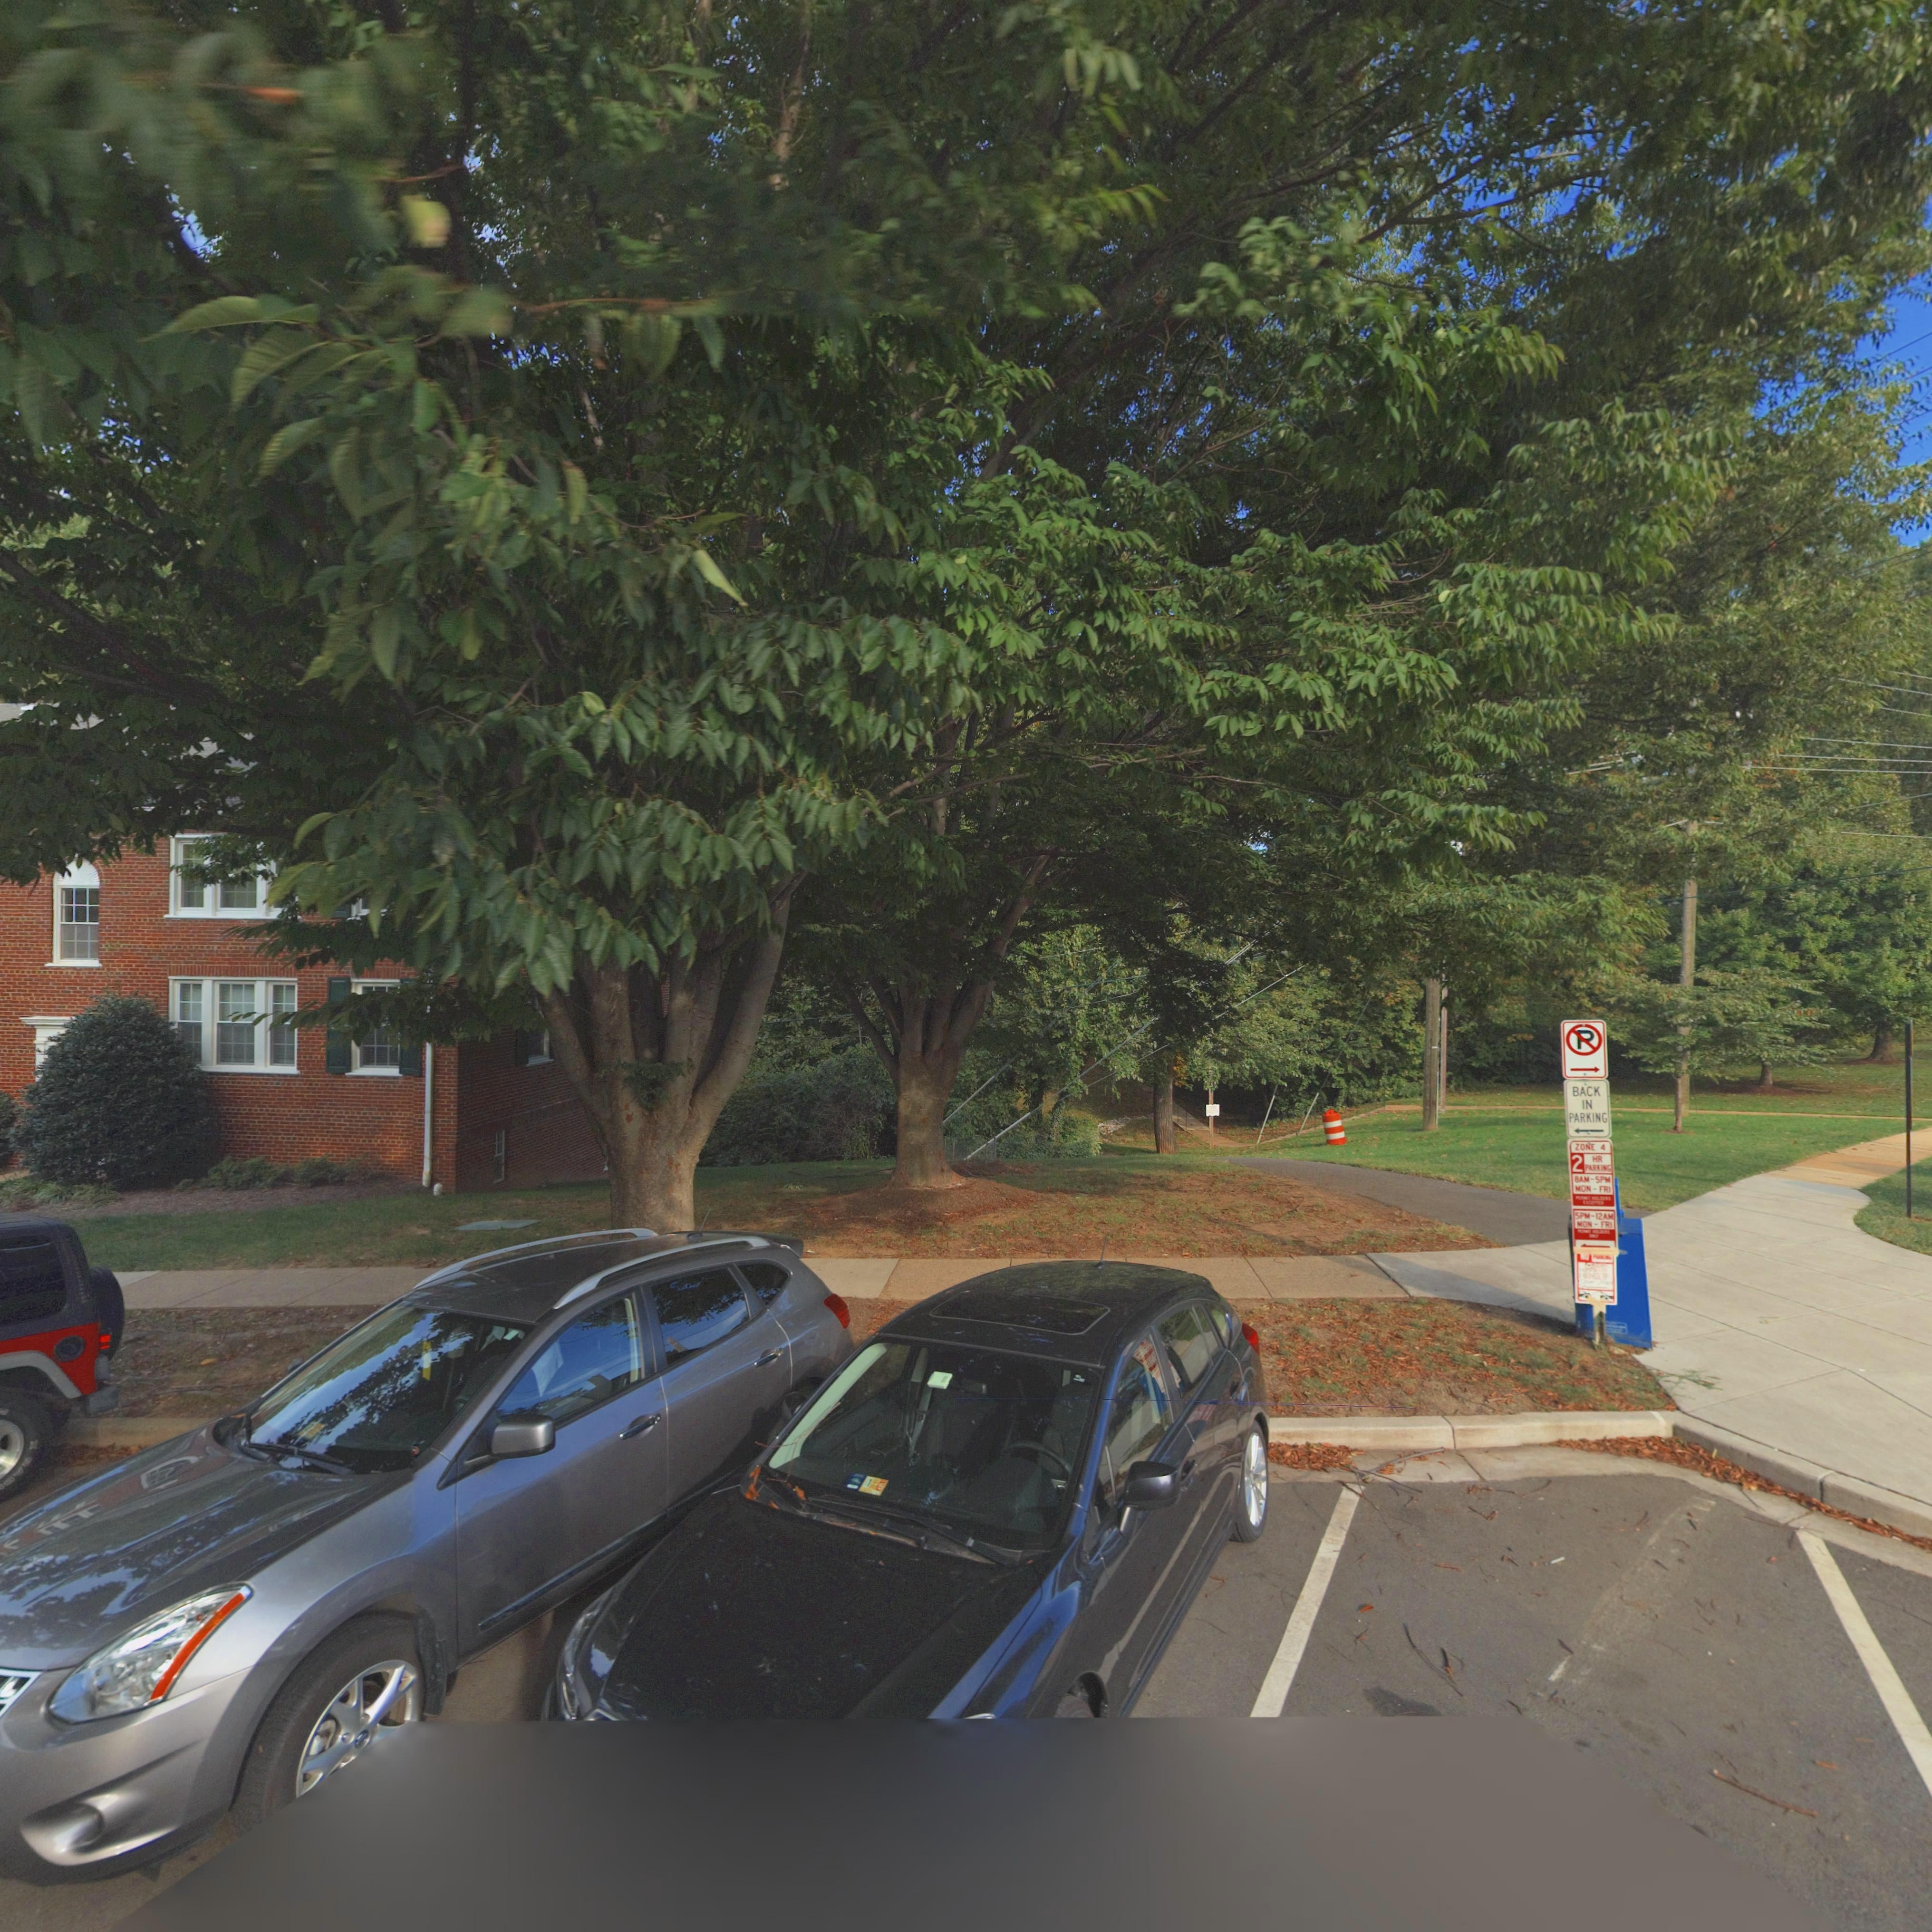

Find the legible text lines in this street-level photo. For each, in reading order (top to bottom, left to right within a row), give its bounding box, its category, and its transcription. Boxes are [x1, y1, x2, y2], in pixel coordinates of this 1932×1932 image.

[1572, 1085, 1603, 1099] None: BACK
[1581, 1098, 1594, 1112] None: IN
[1568, 1111, 1609, 1125] None: PARKING
[1574, 1142, 1608, 1152] None: ZONE 4
[1569, 1153, 1585, 1175] None: 2
[1592, 1155, 1604, 1164] None: HR
[1584, 1163, 1613, 1173] None: PARKING
[1573, 1175, 1612, 1185] None: 8AM-5PM
[1574, 1184, 1613, 1195] None: MON -  FRI
[1573, 1211, 1615, 1221] None: 5PM-12AM
[1575, 1218, 1614, 1229] None: MON - FRI
[865, 1478, 874, 1488] None: 1